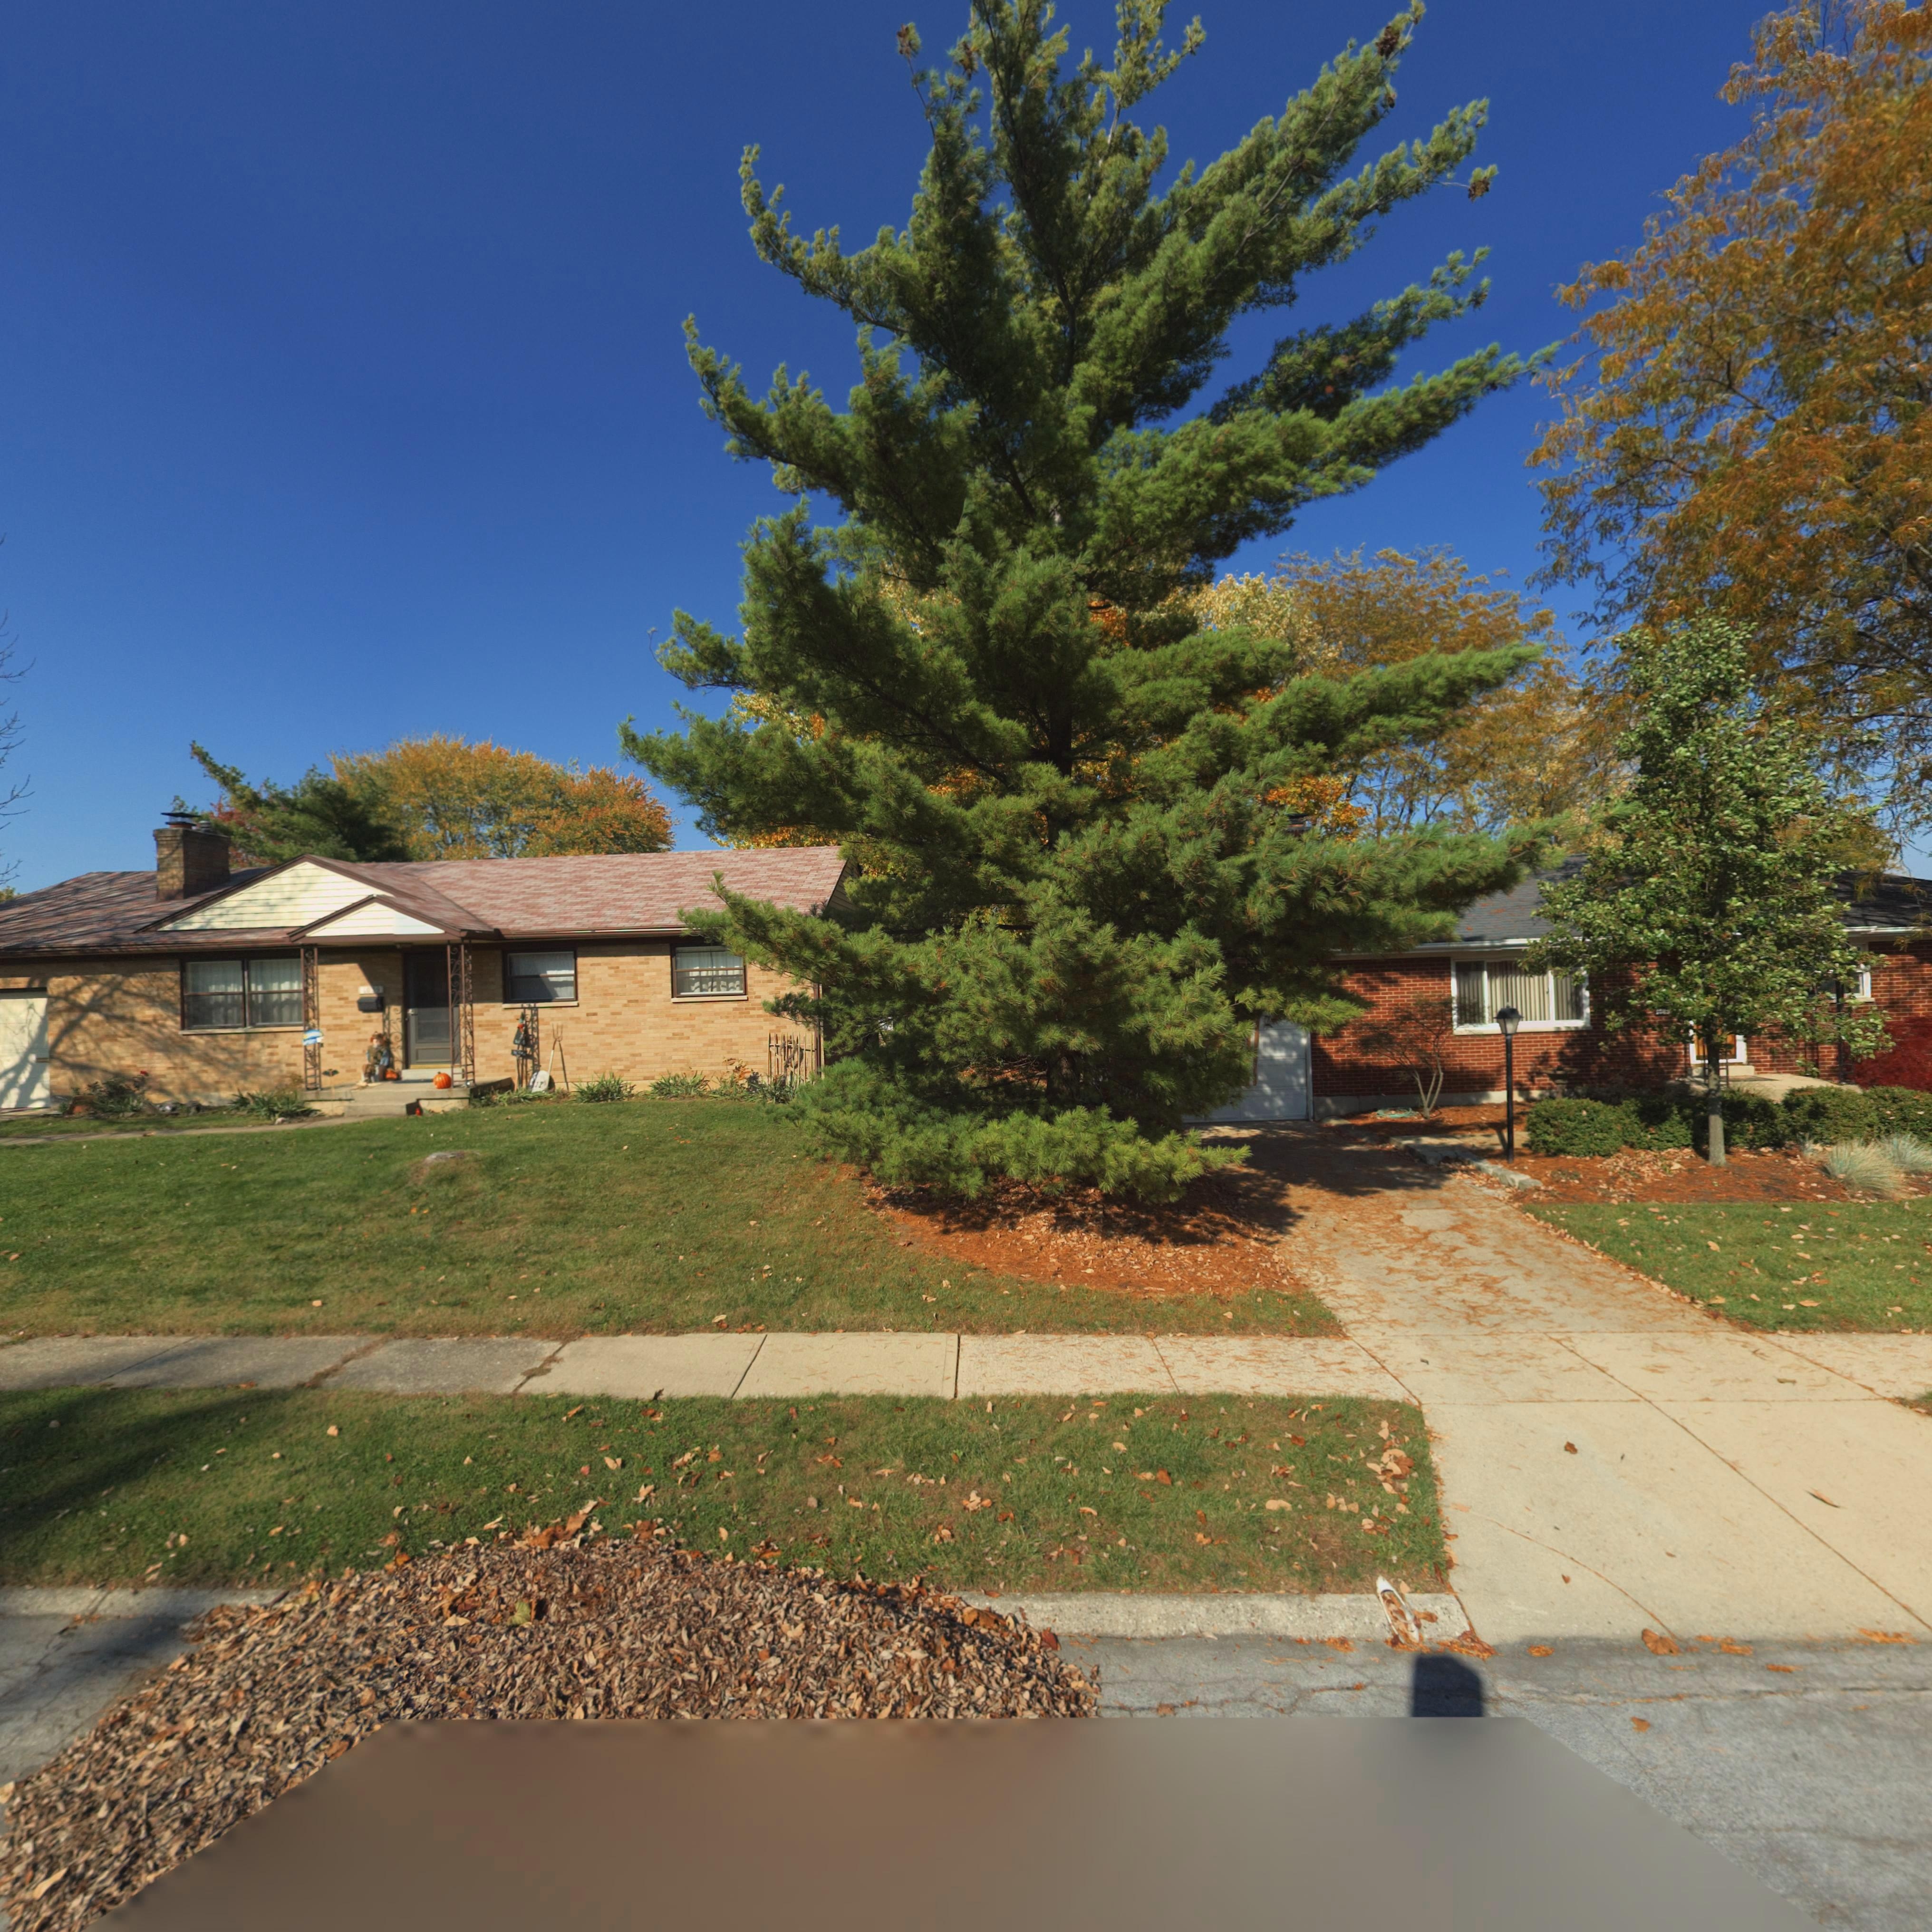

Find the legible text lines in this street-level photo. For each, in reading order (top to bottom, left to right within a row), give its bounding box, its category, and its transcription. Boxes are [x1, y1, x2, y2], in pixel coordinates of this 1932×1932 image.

[362, 985, 379, 994] StreetNumber: 1059\
[533, 1081, 545, 1089] None: I.P.